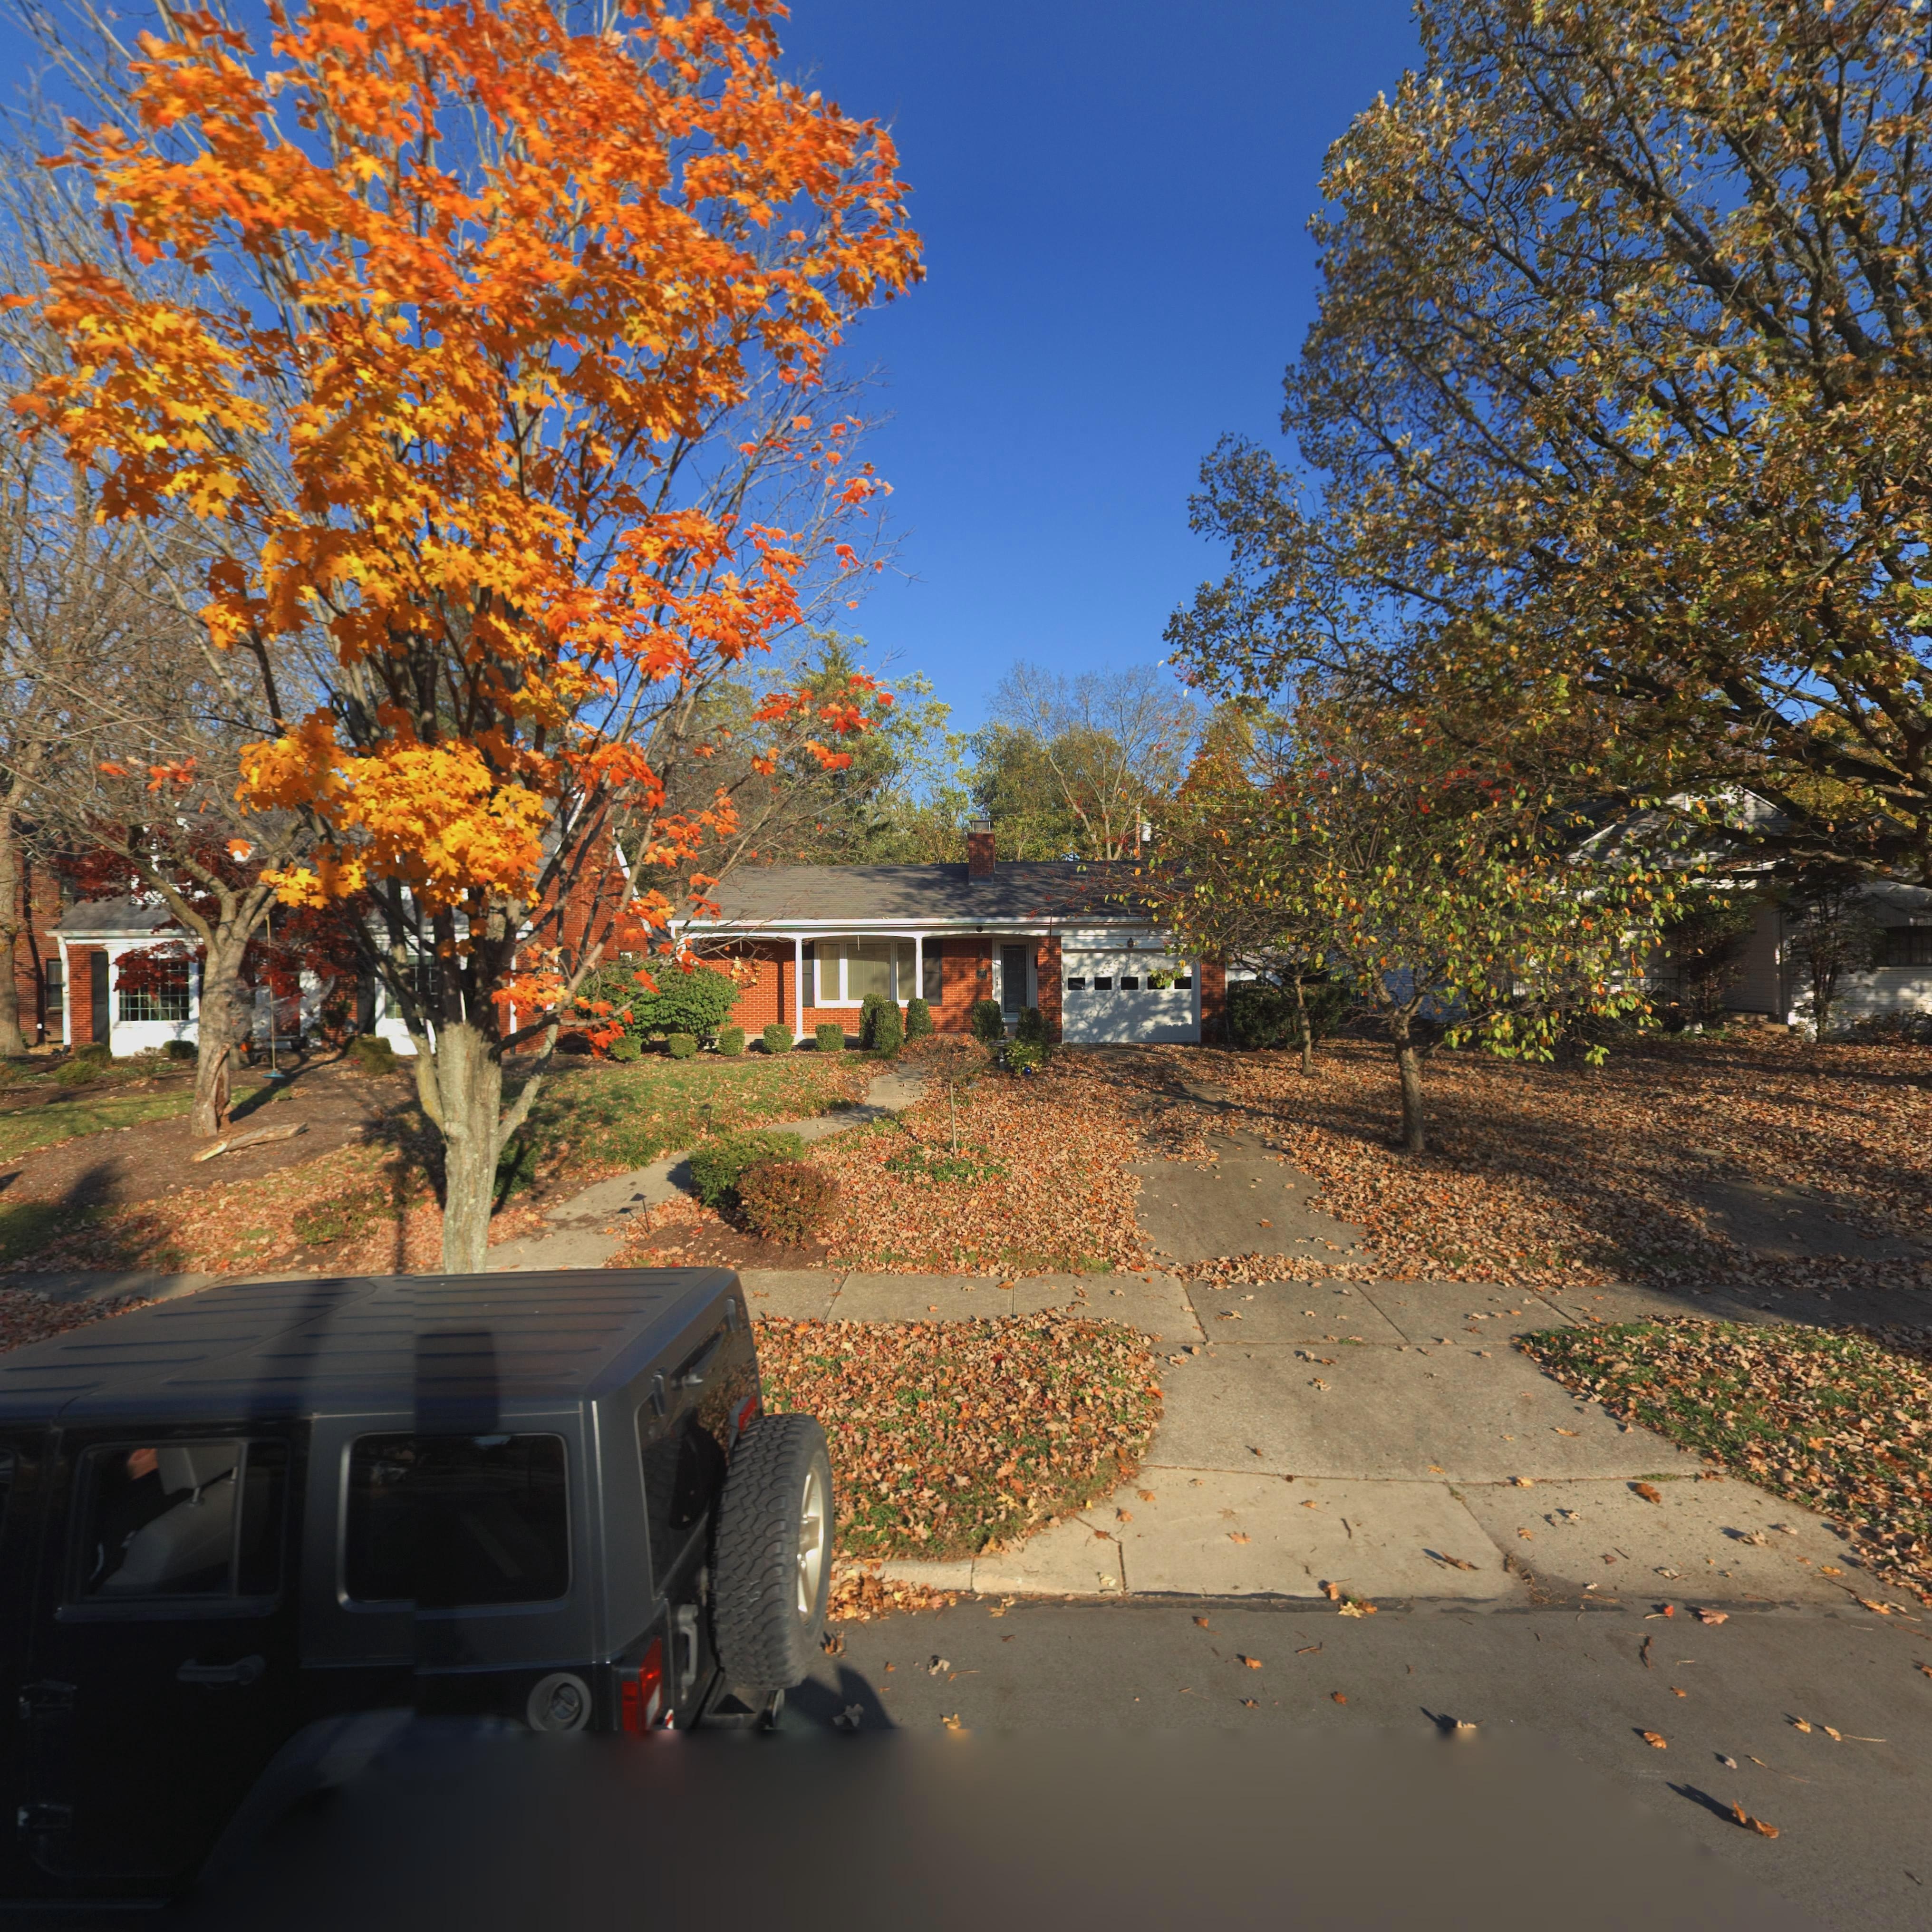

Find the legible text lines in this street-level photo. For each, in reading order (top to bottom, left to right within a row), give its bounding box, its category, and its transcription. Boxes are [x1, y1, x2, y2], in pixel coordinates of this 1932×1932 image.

[977, 971, 985, 976] StreetNumber: 600